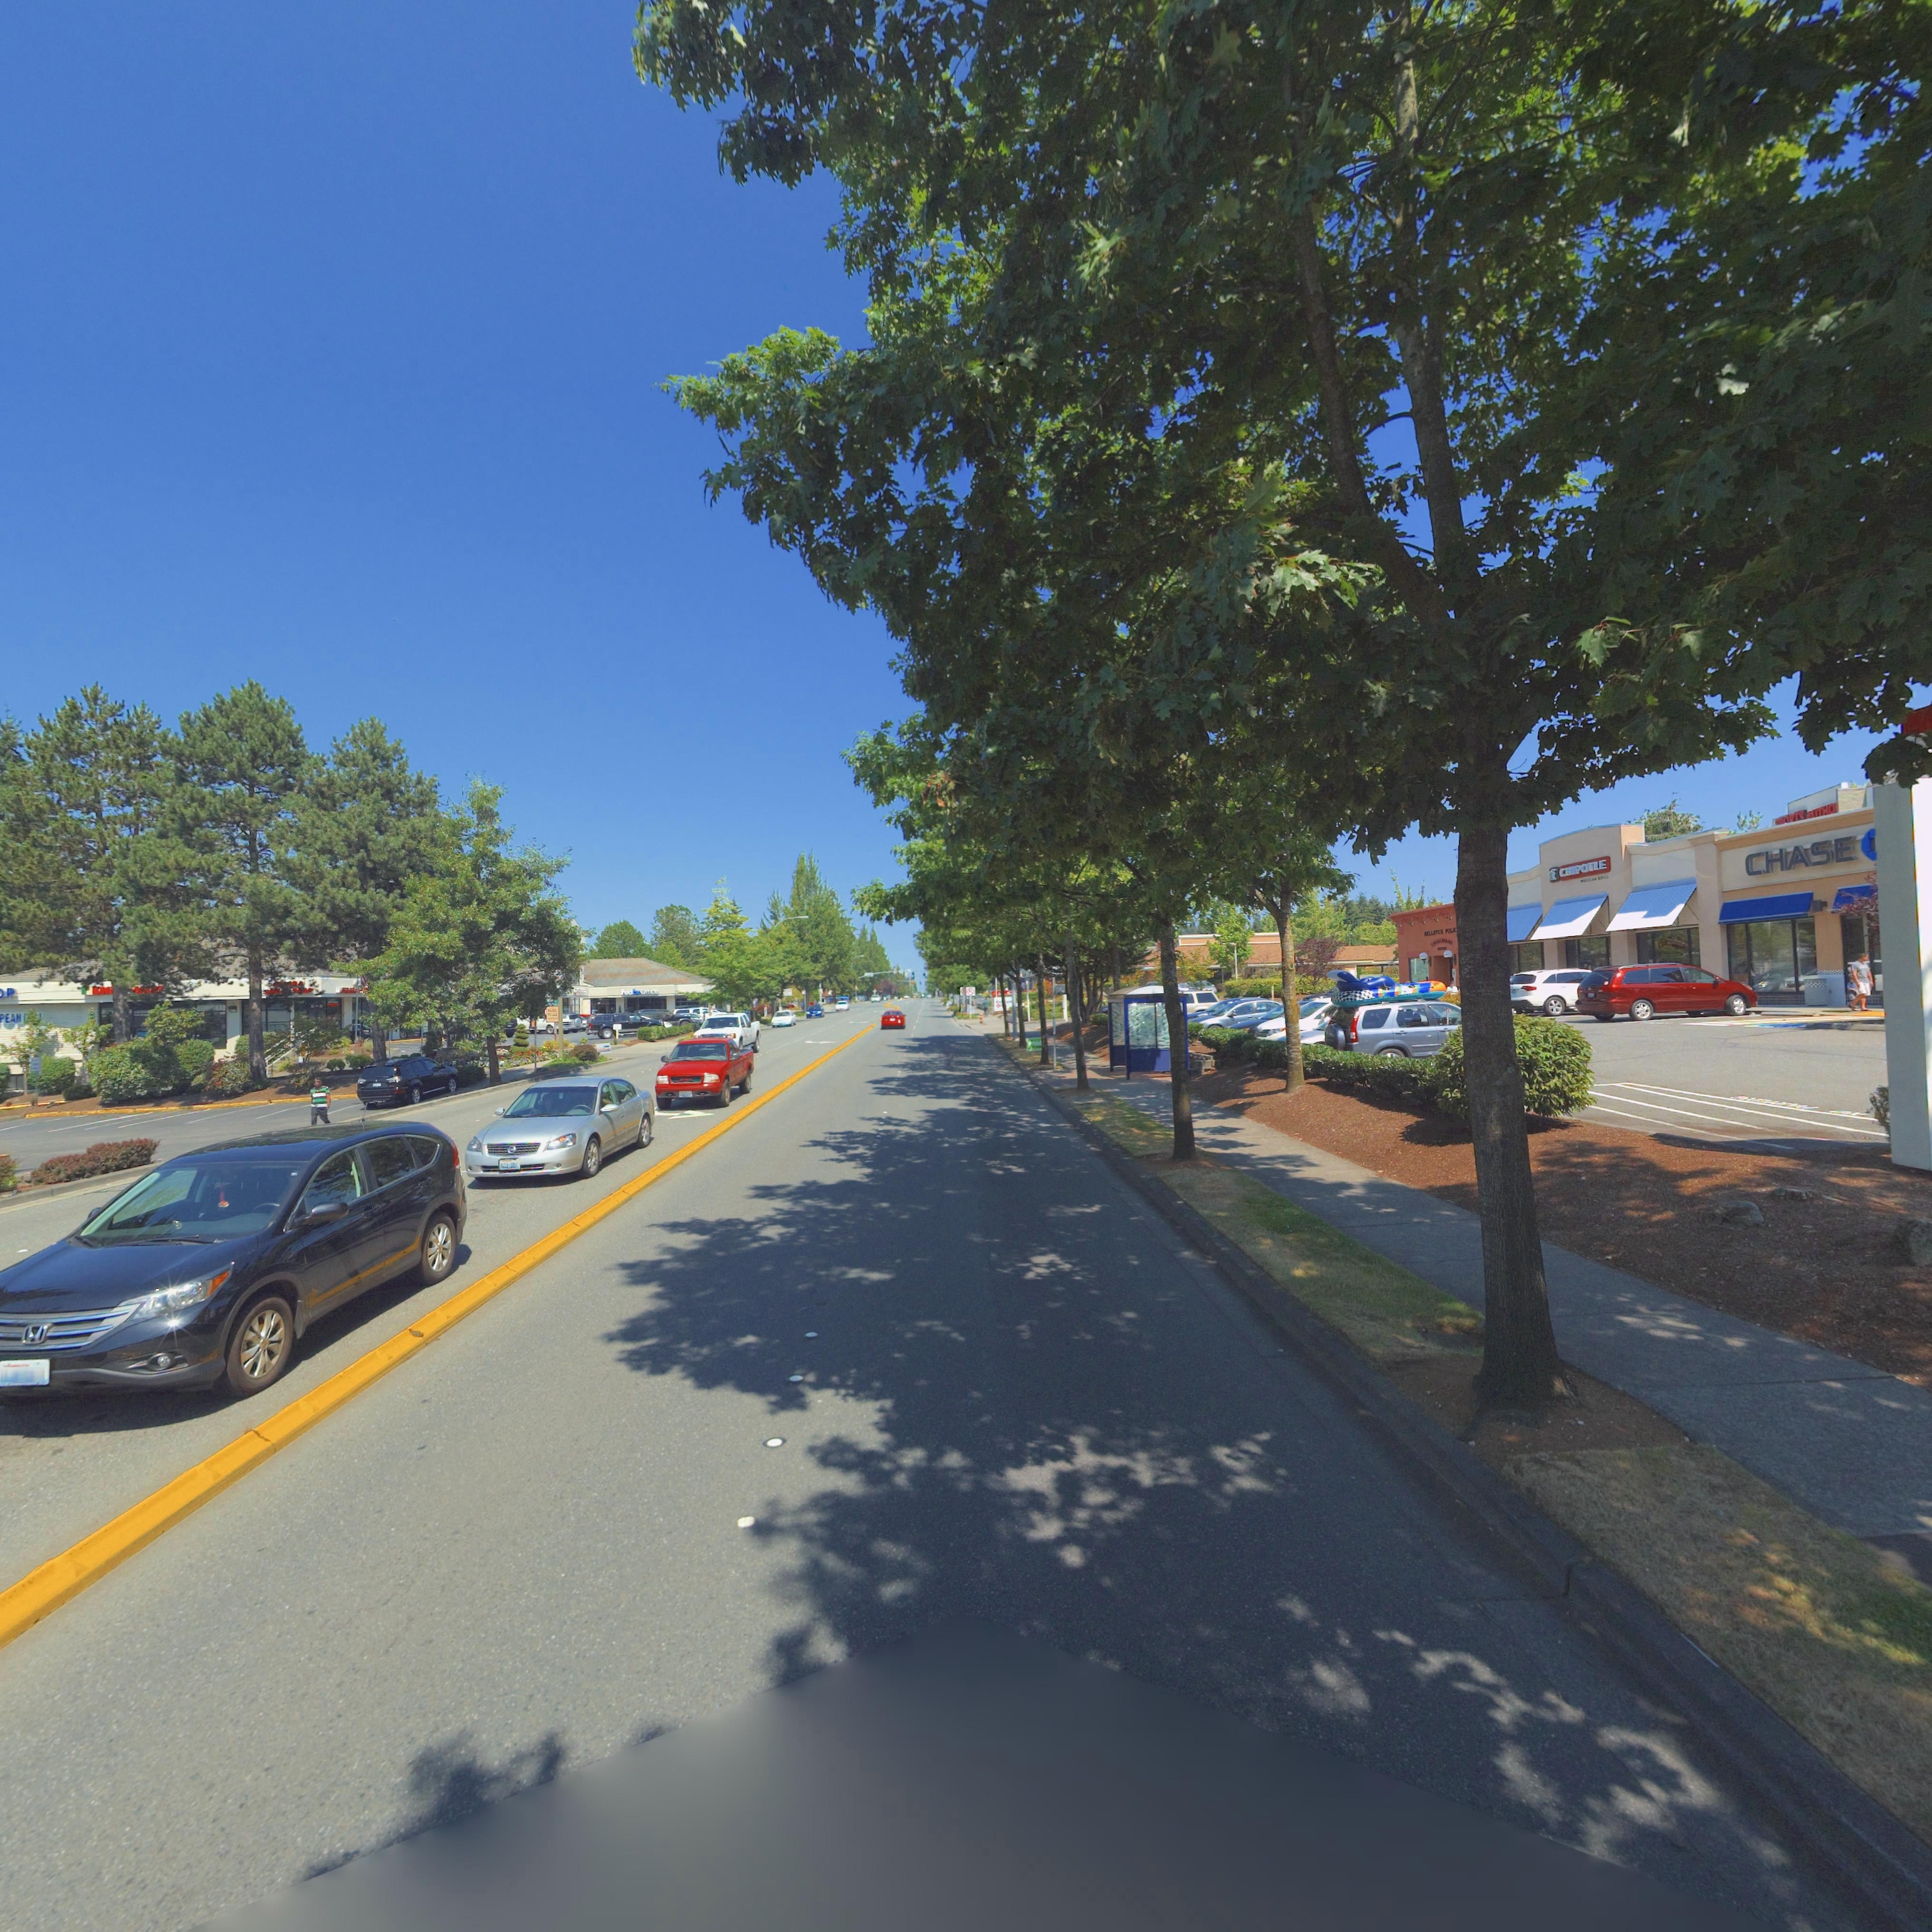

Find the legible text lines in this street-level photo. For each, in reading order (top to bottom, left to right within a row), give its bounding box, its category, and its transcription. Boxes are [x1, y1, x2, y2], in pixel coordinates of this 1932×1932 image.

[1745, 835, 1858, 876] BusinessName: CHASE
[1558, 859, 1606, 877] BusinessName: CH*POTLE
[620, 987, 659, 995] BusinessName: FedEx O***ce